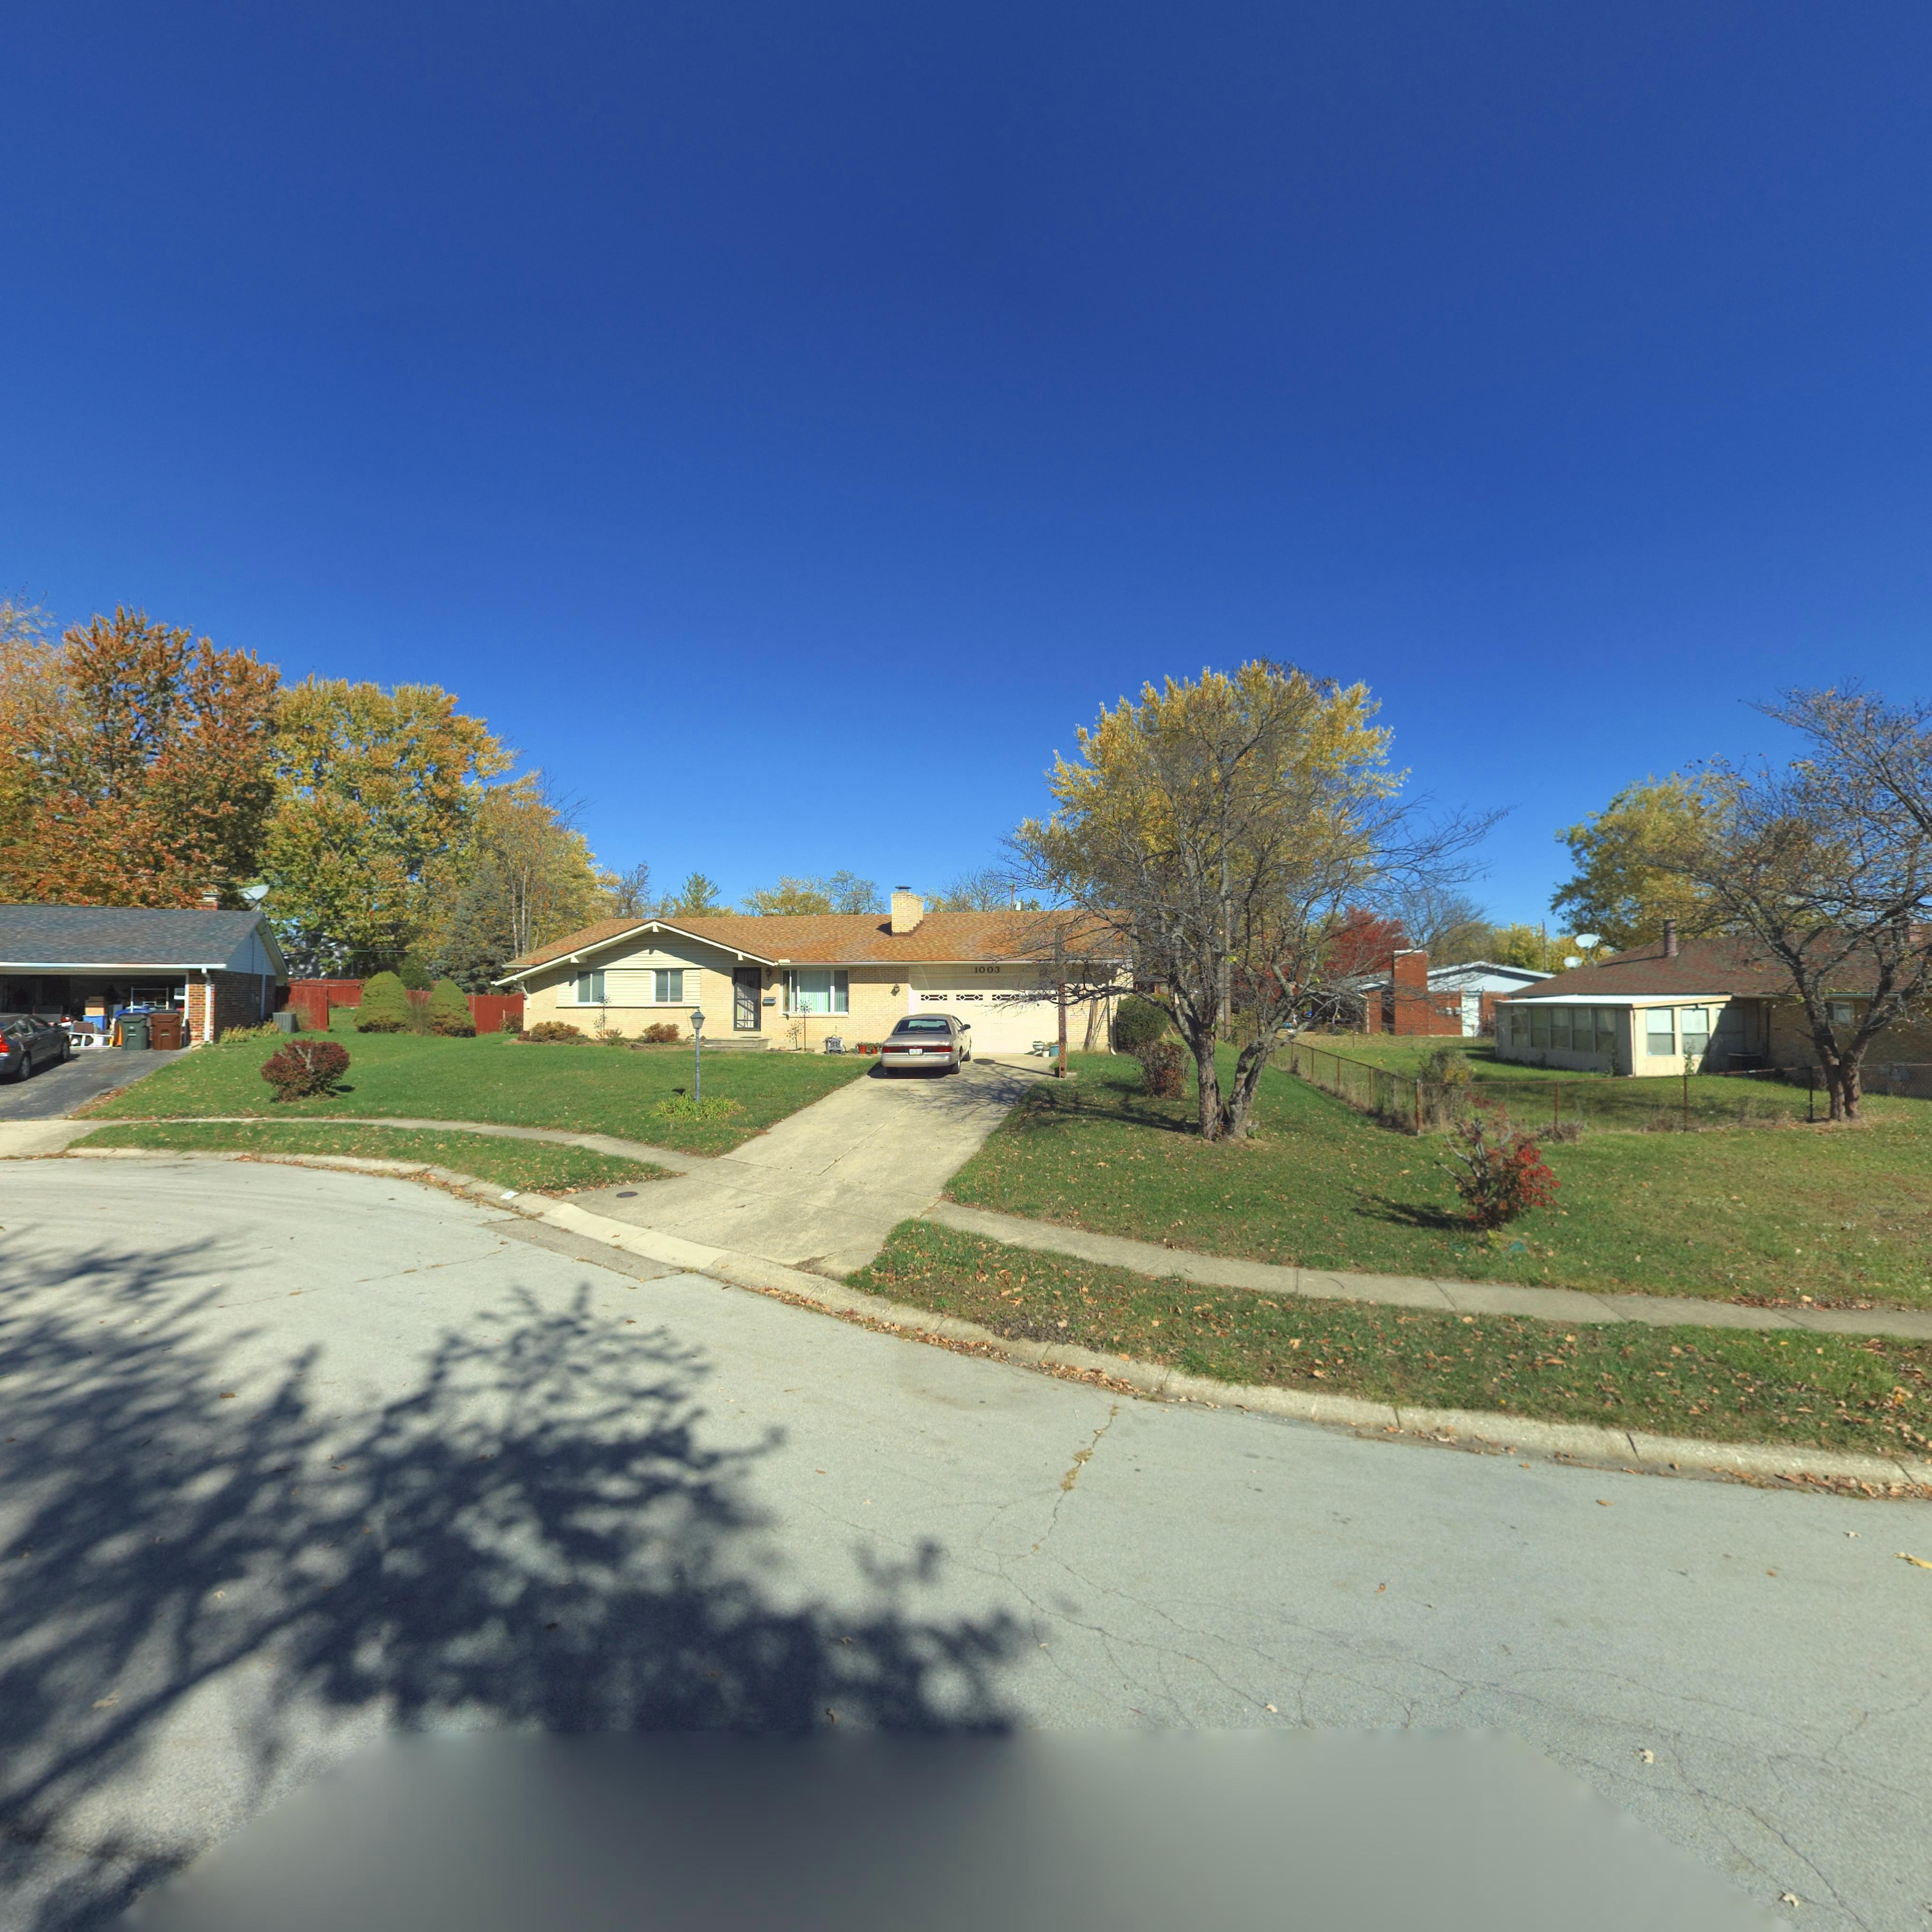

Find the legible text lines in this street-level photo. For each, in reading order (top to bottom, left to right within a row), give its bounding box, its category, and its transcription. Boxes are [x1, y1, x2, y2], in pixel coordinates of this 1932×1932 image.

[974, 966, 1000, 974] StreetNumber: 1003
[502, 1191, 516, 1199] StreetNumber: 100*